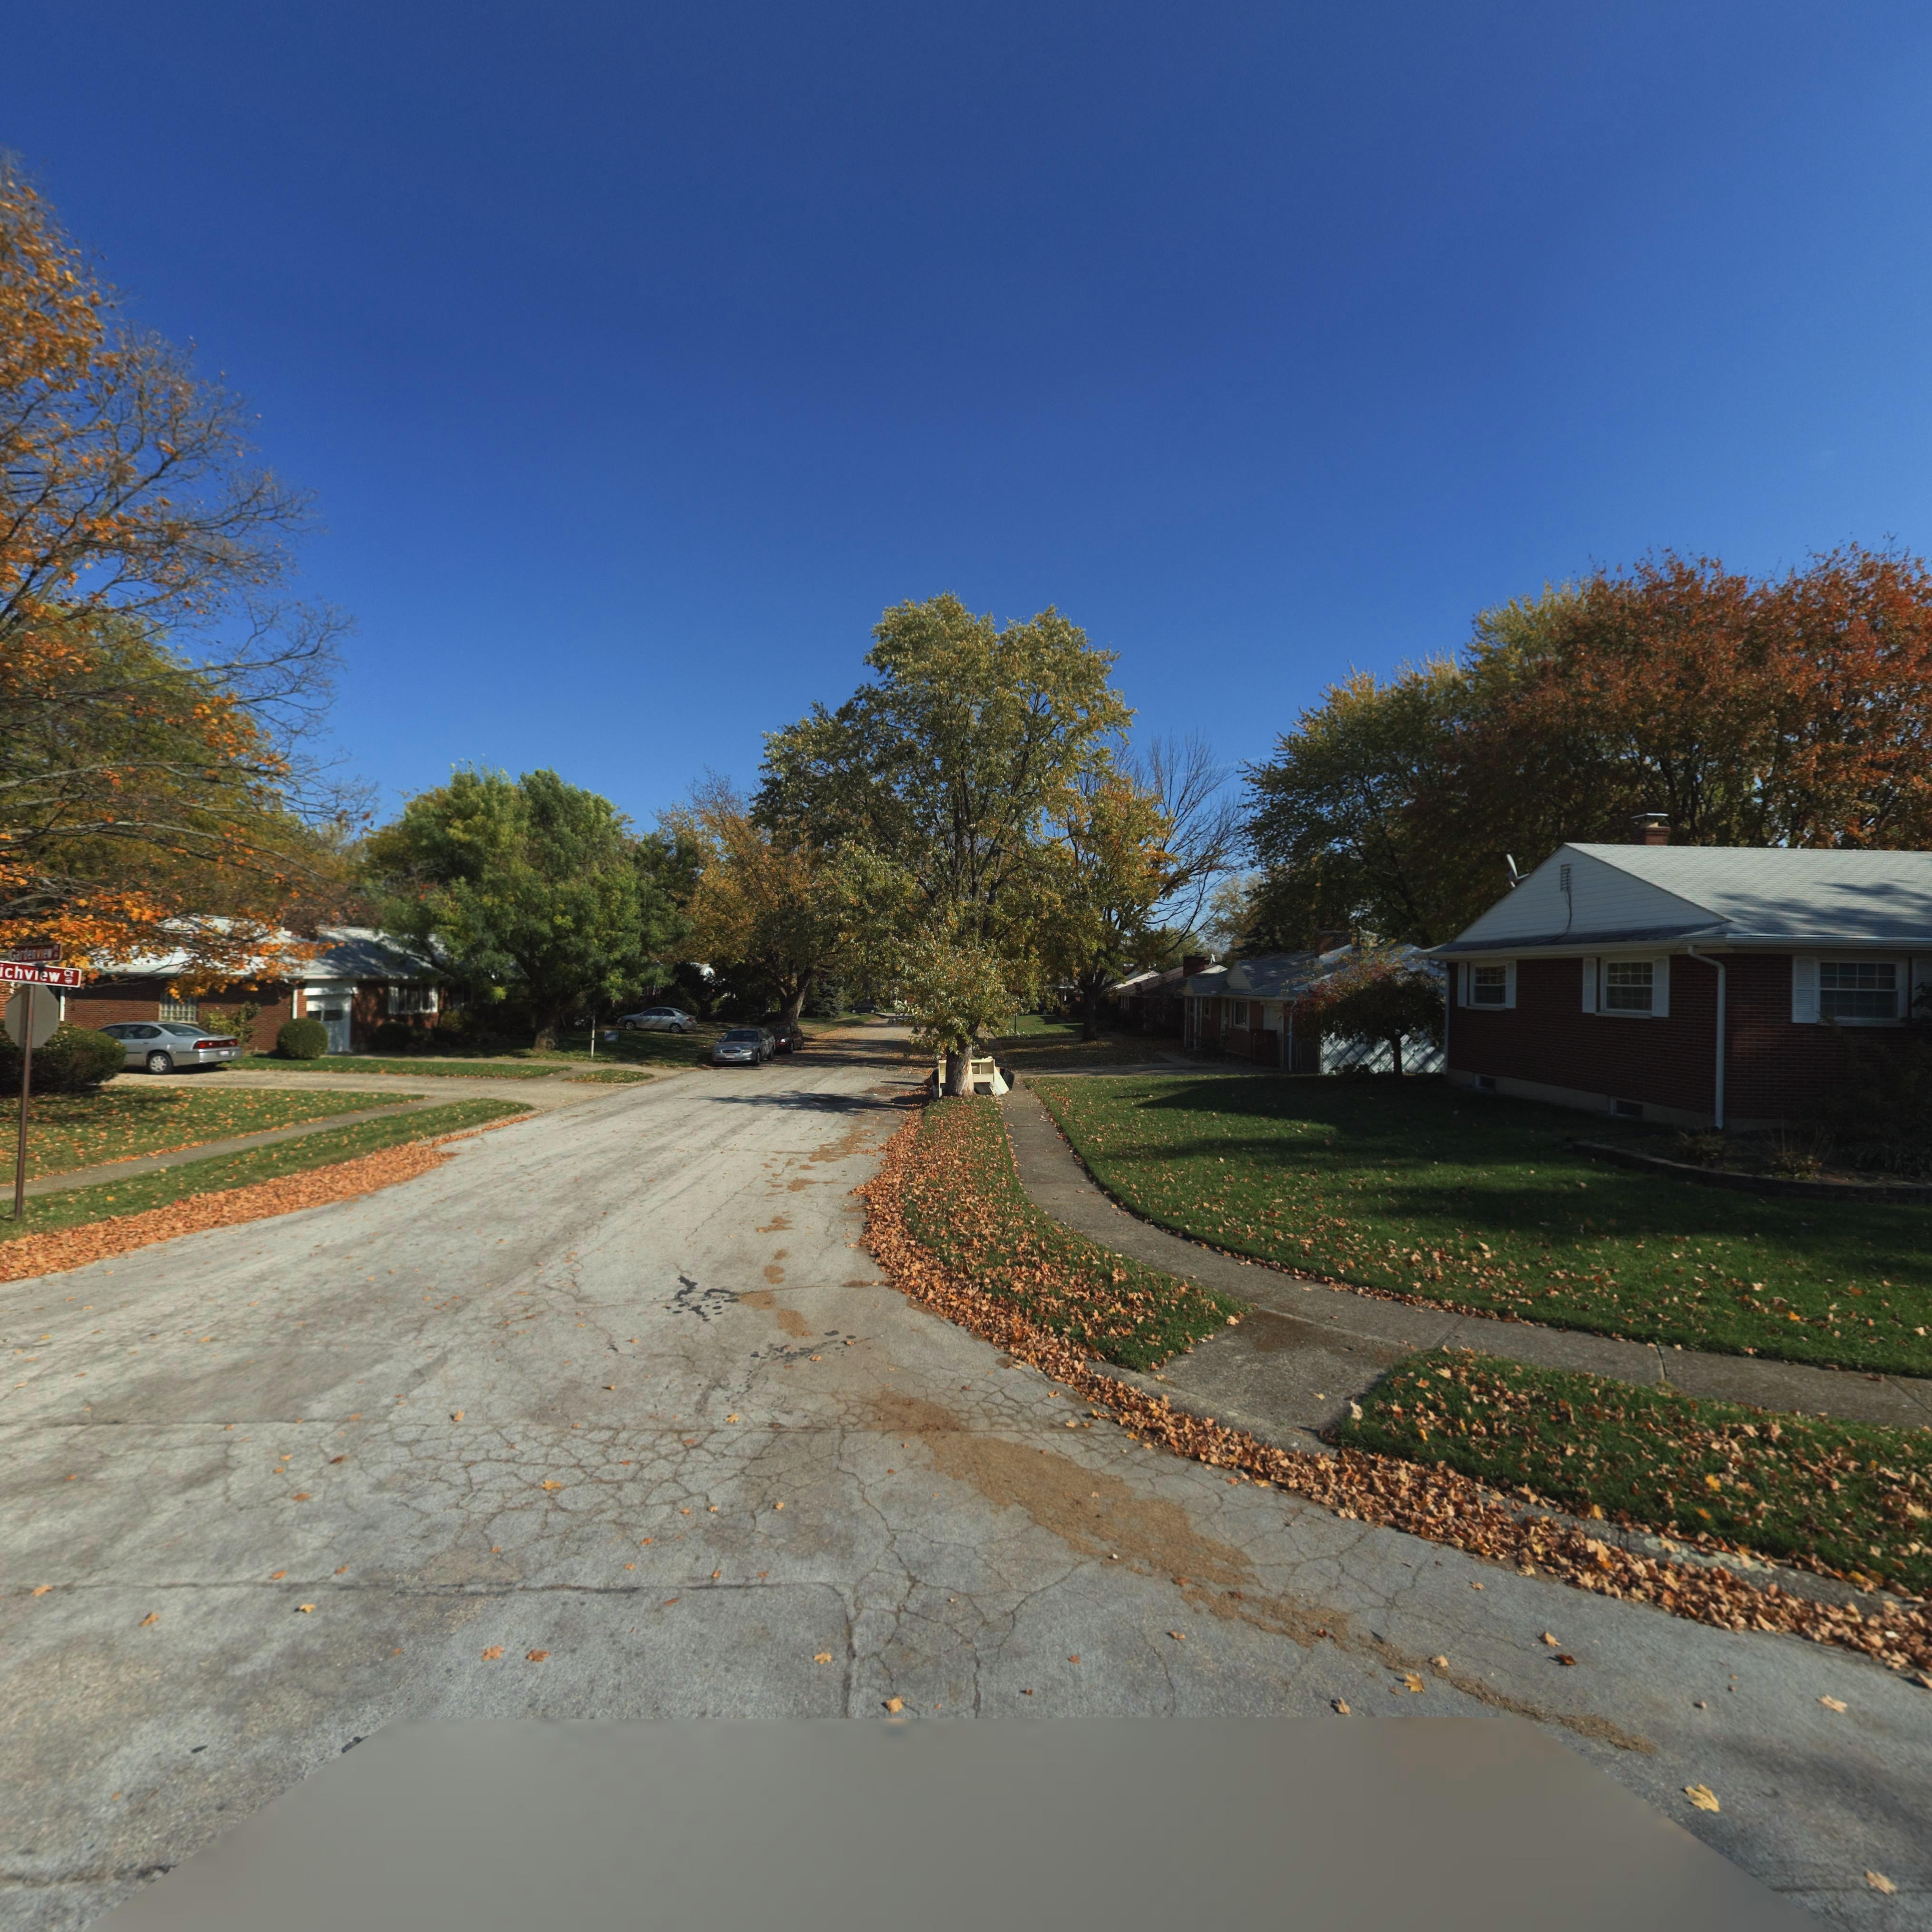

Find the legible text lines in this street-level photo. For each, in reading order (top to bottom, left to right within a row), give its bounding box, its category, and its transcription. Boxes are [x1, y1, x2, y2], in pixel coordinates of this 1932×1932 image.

[8, 945, 54, 963] StreetName: Gardenview
[0, 963, 75, 983] StreetName: ichview C*